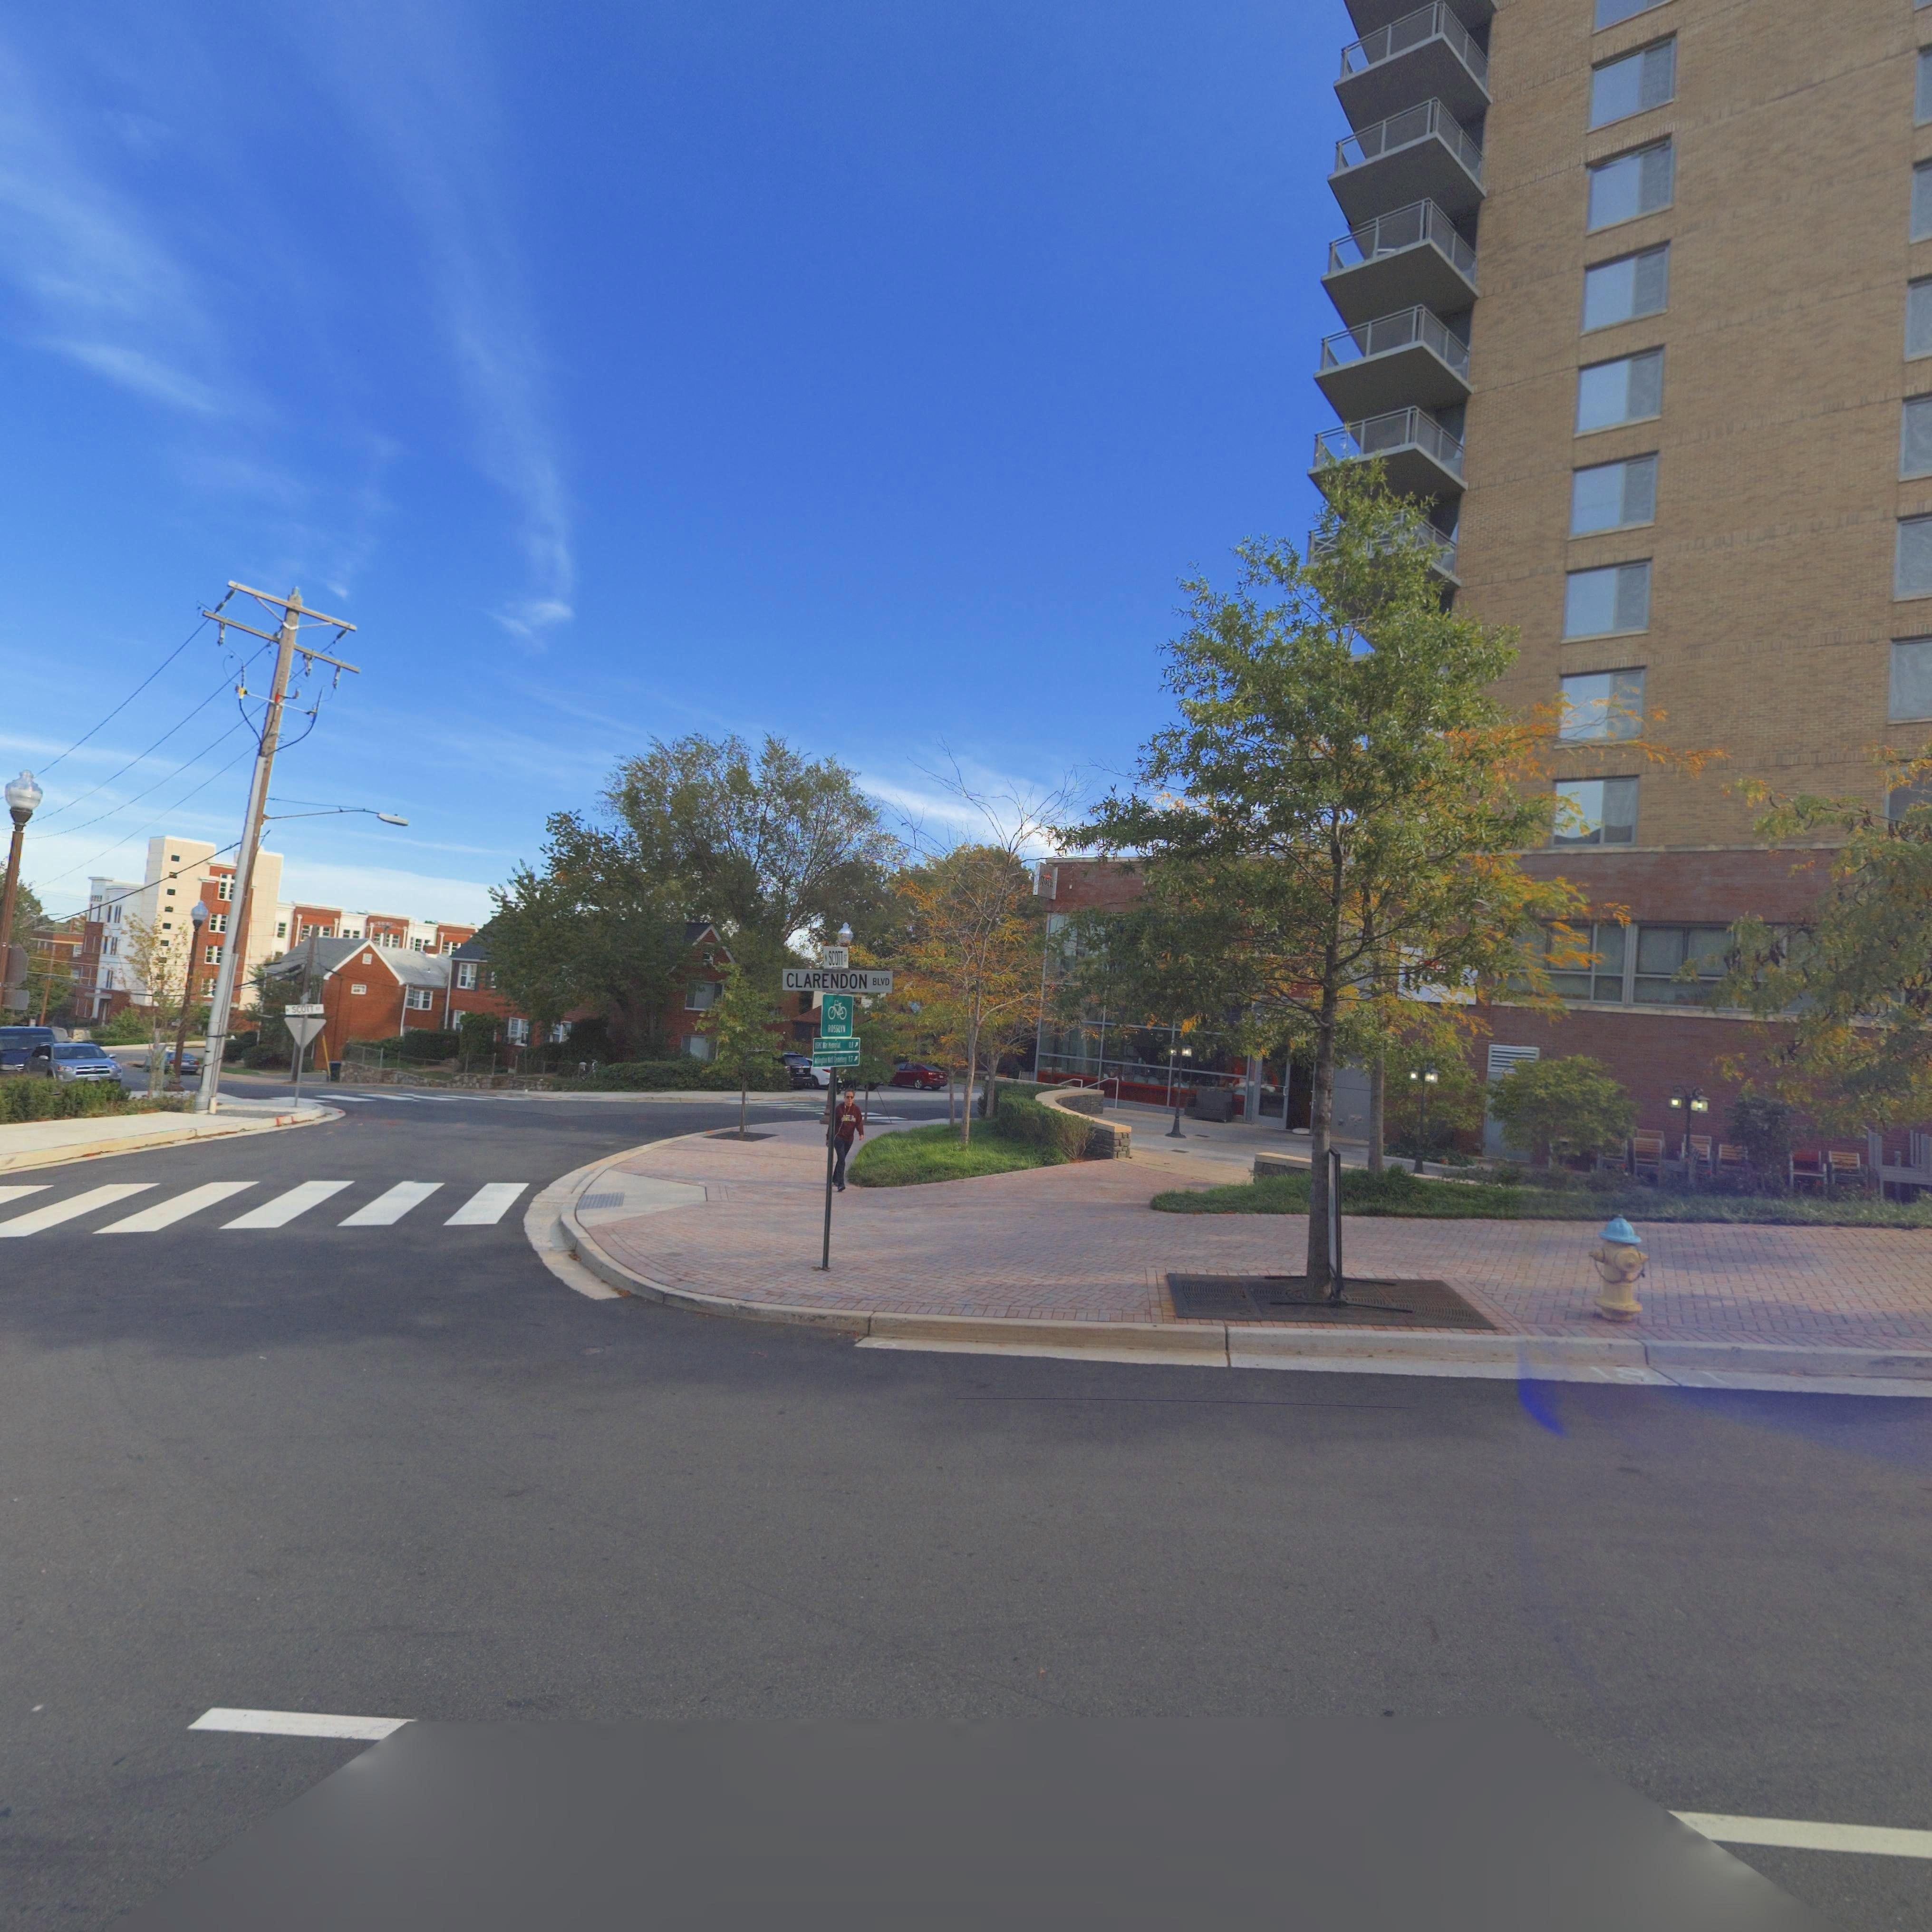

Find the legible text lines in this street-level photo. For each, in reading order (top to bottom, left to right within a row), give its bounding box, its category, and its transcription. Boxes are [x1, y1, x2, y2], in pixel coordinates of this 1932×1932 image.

[823, 949, 849, 967] StreetName: N SCOTT ST
[785, 970, 890, 991] StreetName: CLARENDON BLVD
[290, 1004, 316, 1015] StreetName: SCOTT
[827, 1023, 847, 1034] None: ROSSLYN